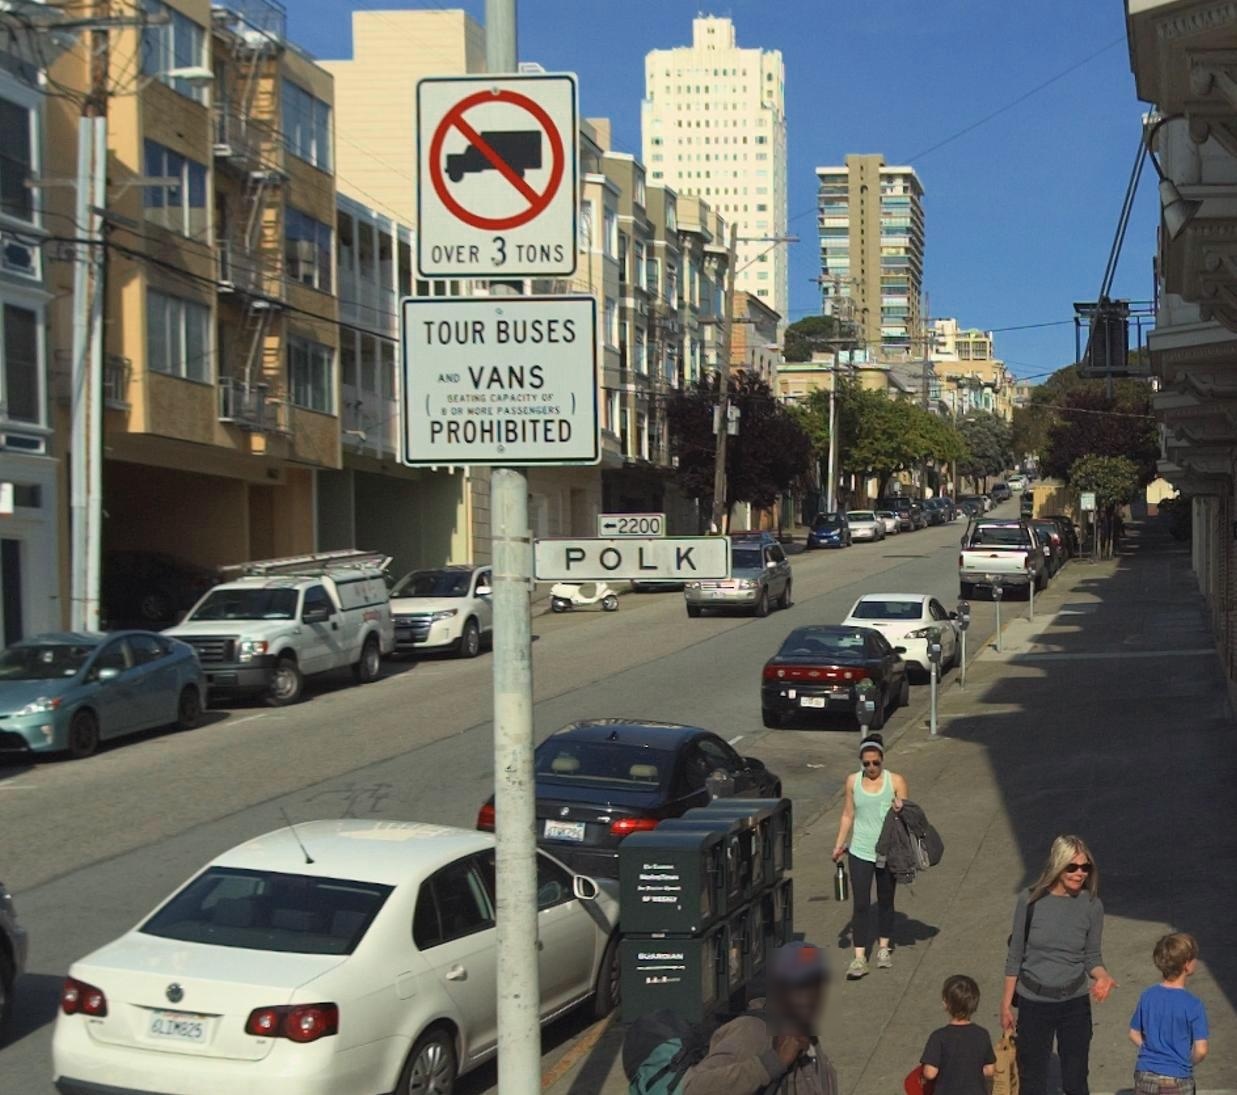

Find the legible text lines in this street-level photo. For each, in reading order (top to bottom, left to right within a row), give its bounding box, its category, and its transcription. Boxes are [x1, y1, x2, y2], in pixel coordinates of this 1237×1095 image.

[428, 234, 567, 270] None: OVER 3 TONS
[418, 315, 580, 352] None: TOUR BUSES
[430, 361, 550, 394] None: AND VANS
[443, 389, 557, 406] None: SEATING CAPACITY OF
[438, 402, 564, 419] None: * OR MORE PASSENGERS
[426, 415, 575, 447] None: PROHIBITED
[600, 515, 662, 536] StreetNumberRange: <-2200
[562, 544, 699, 574] StreetName: POLK
[146, 1014, 207, 1042] None: 6LIM*25